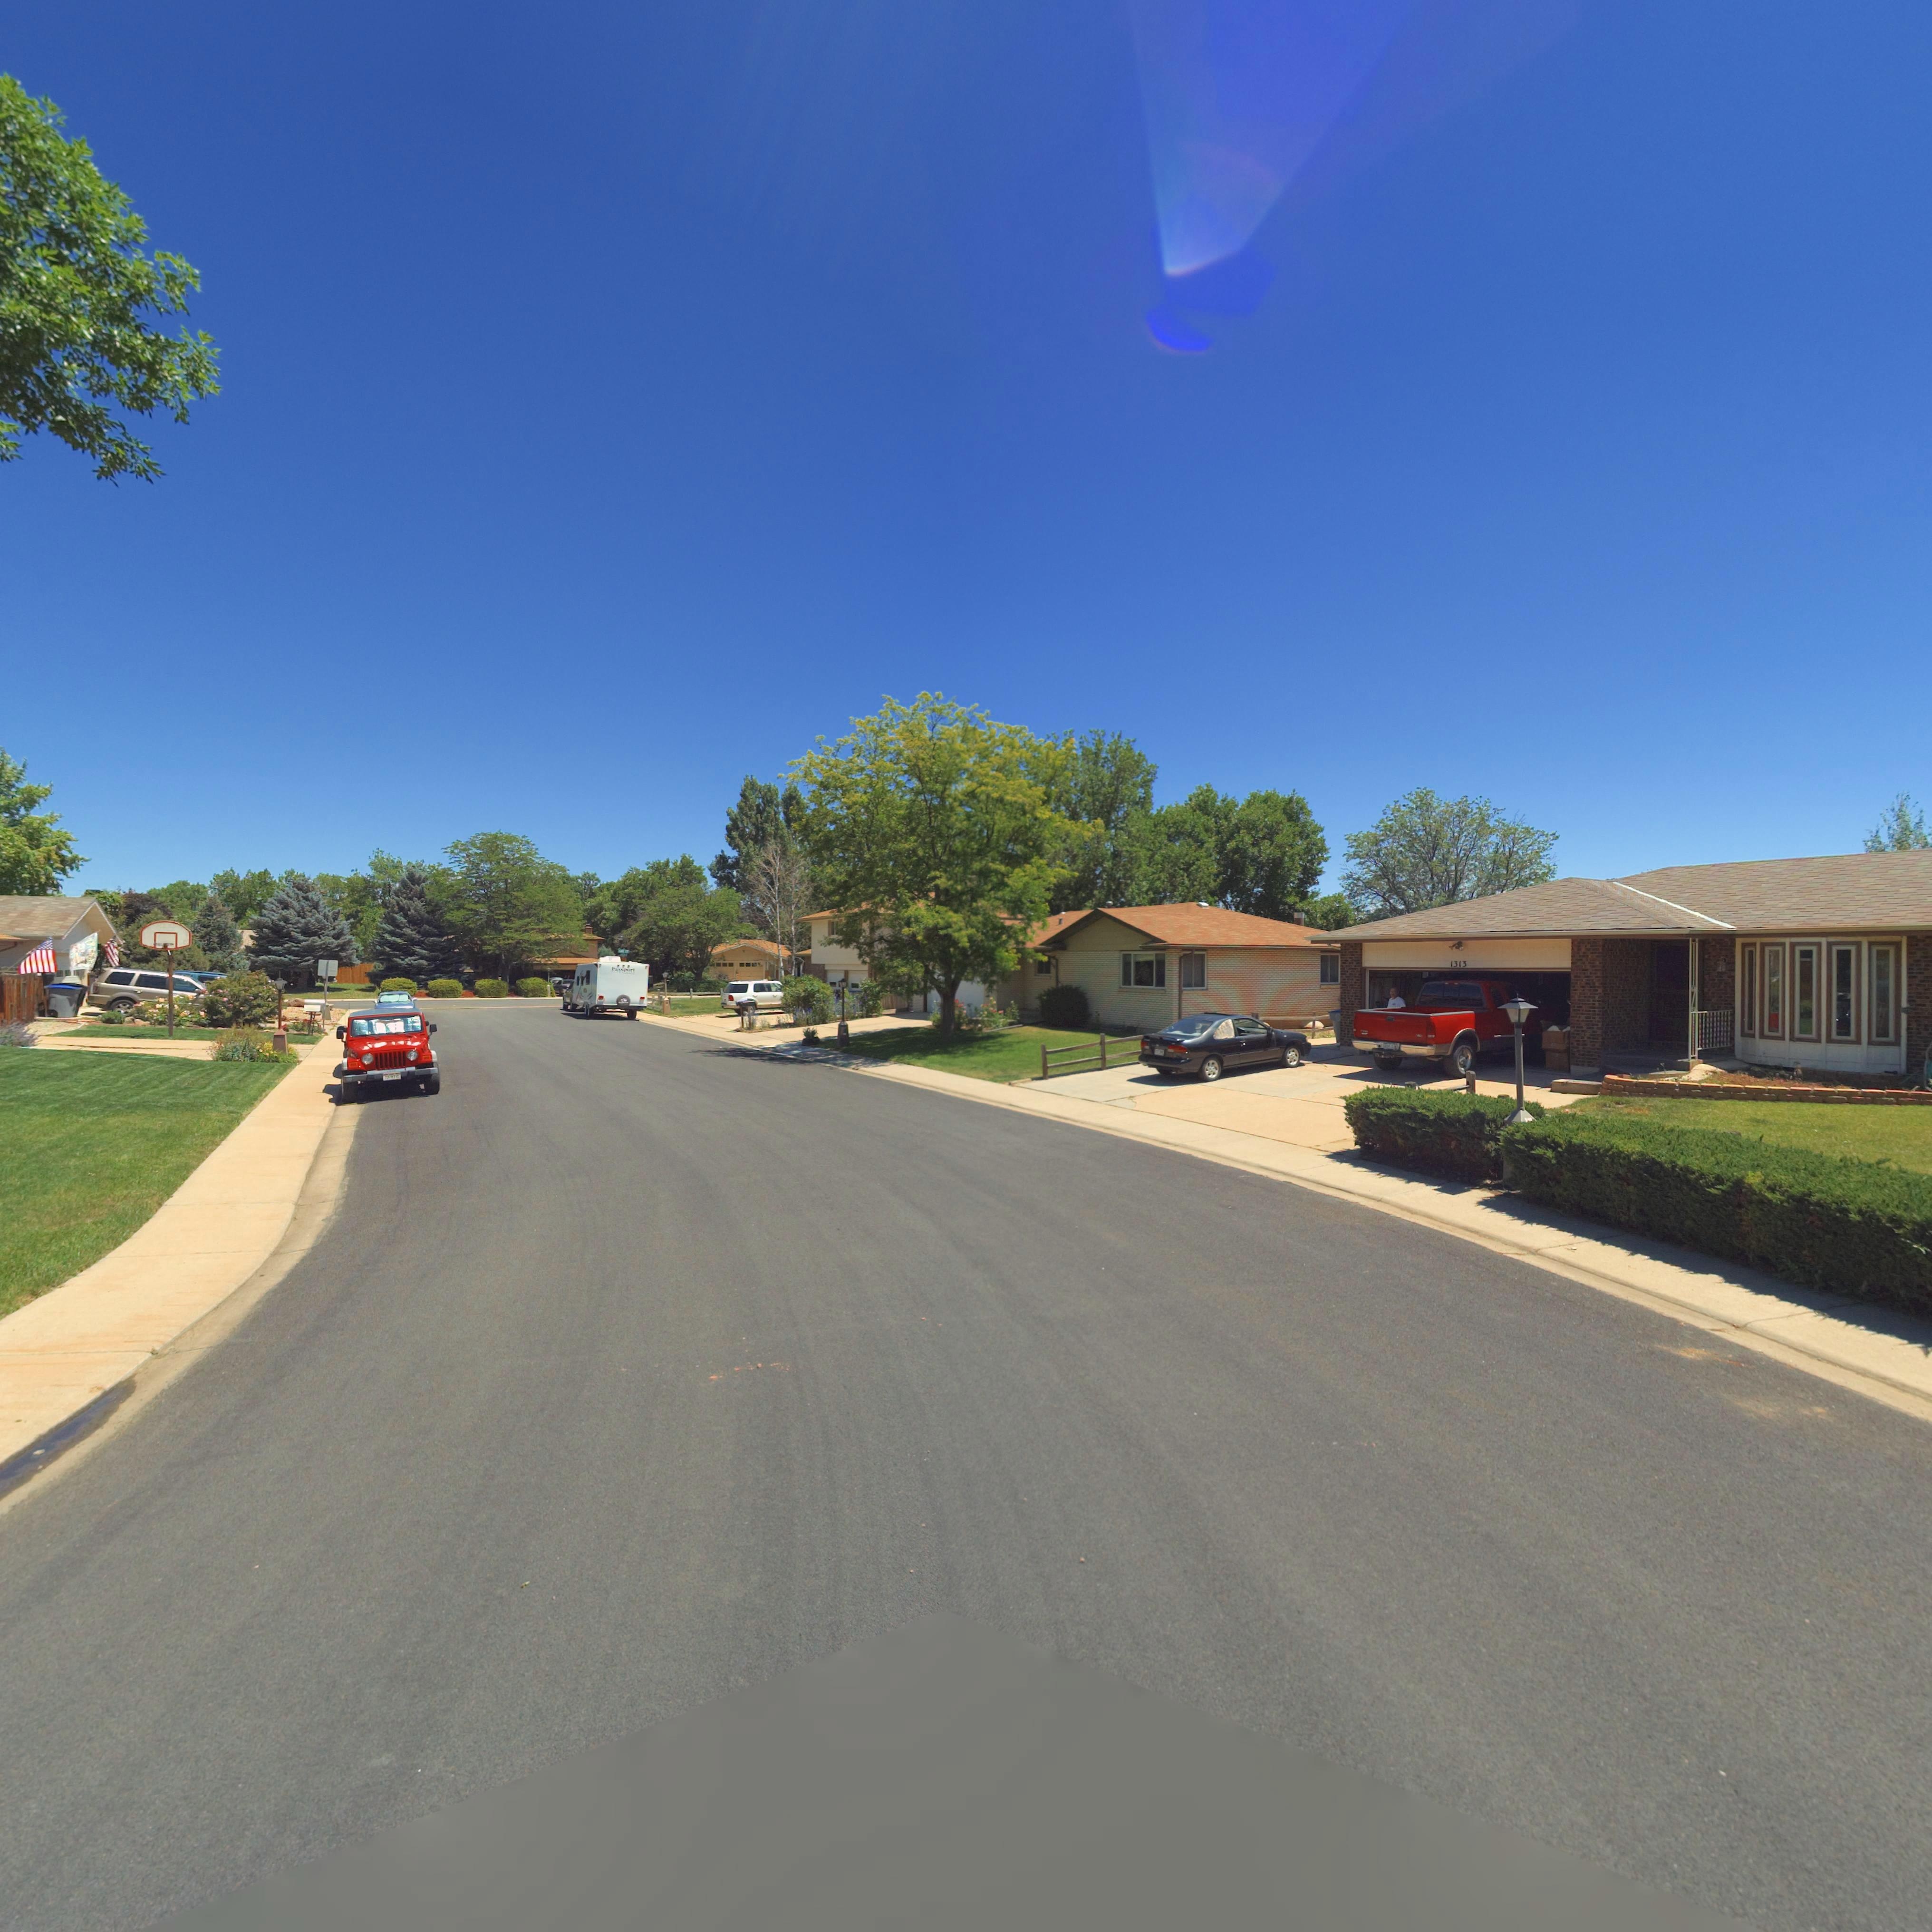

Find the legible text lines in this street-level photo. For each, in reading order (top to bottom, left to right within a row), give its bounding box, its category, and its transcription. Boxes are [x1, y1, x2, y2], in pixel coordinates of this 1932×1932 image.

[1450, 960, 1467, 967] StreetNumber: 1313